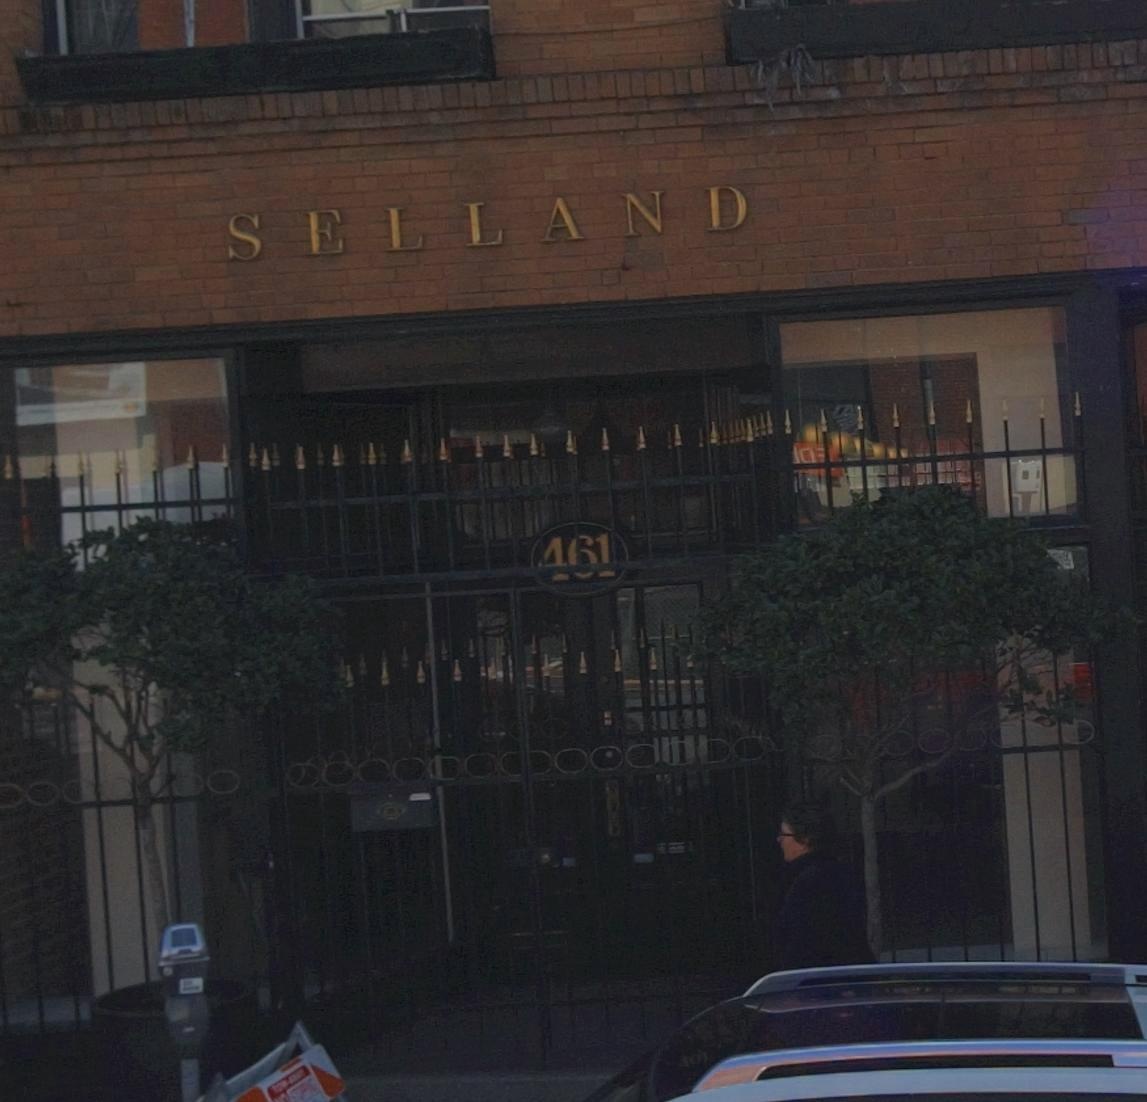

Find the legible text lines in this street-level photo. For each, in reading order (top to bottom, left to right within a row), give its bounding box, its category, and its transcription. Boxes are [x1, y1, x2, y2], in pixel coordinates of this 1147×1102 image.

[222, 177, 756, 269] BusinessName: SELLAND
[529, 528, 621, 589] StreetNumber: 461